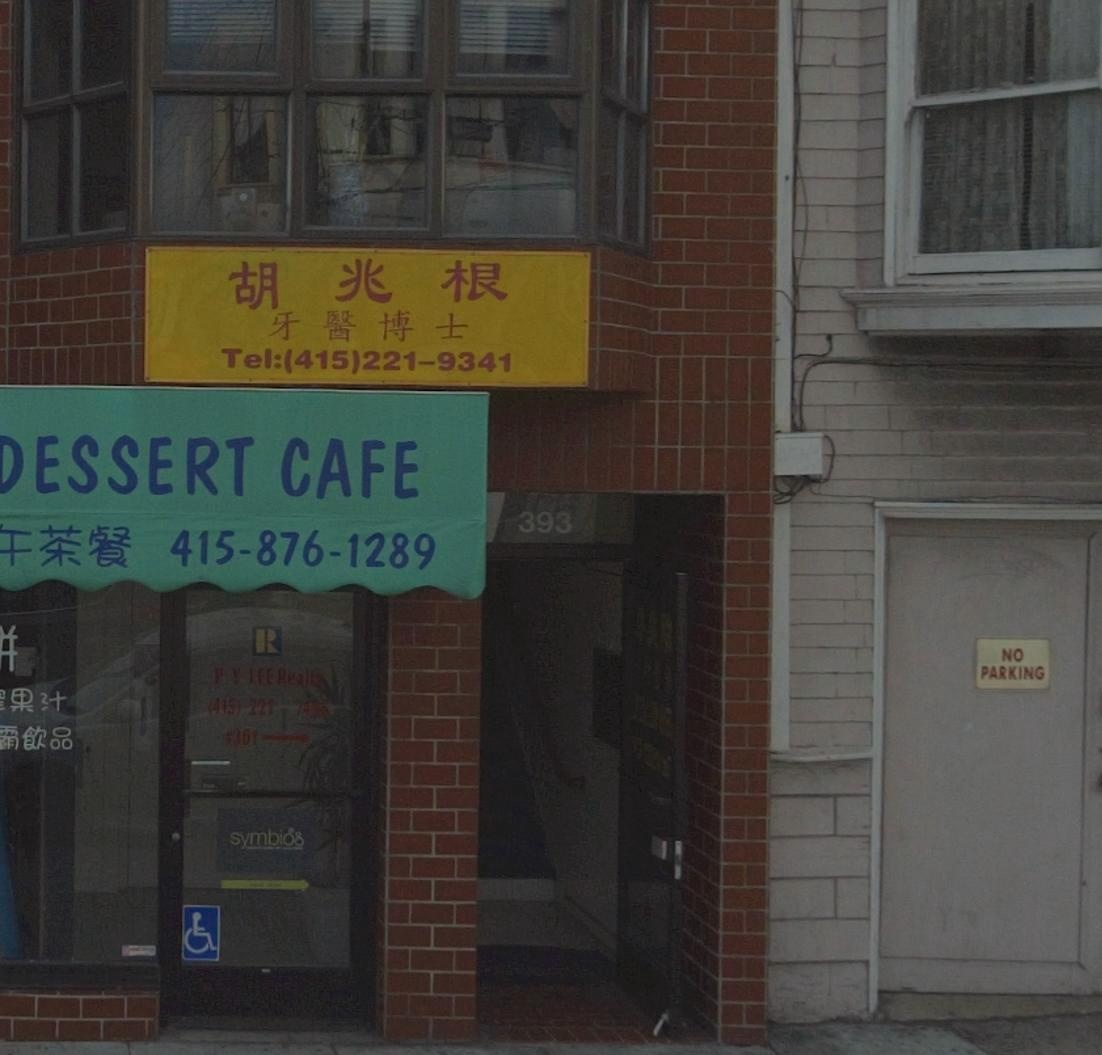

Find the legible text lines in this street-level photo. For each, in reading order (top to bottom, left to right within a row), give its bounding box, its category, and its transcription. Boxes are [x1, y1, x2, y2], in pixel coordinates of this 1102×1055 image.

[220, 347, 511, 374] None: Tel:(415)221-9341
[0, 432, 420, 502] BusinessName: DESSERT CAFE
[518, 510, 573, 534] StreetNumber: 393
[167, 528, 438, 571] None: 415-876-1289
[254, 628, 280, 655] None: R
[1001, 647, 1025, 662] None: NO
[213, 666, 275, 687] BusinessName: P Y LEE
[980, 665, 1045, 681] None: PARKING
[206, 696, 275, 718] None: (415) 221
[232, 727, 258, 747] None: 301
[229, 827, 305, 849] None: symbi*s